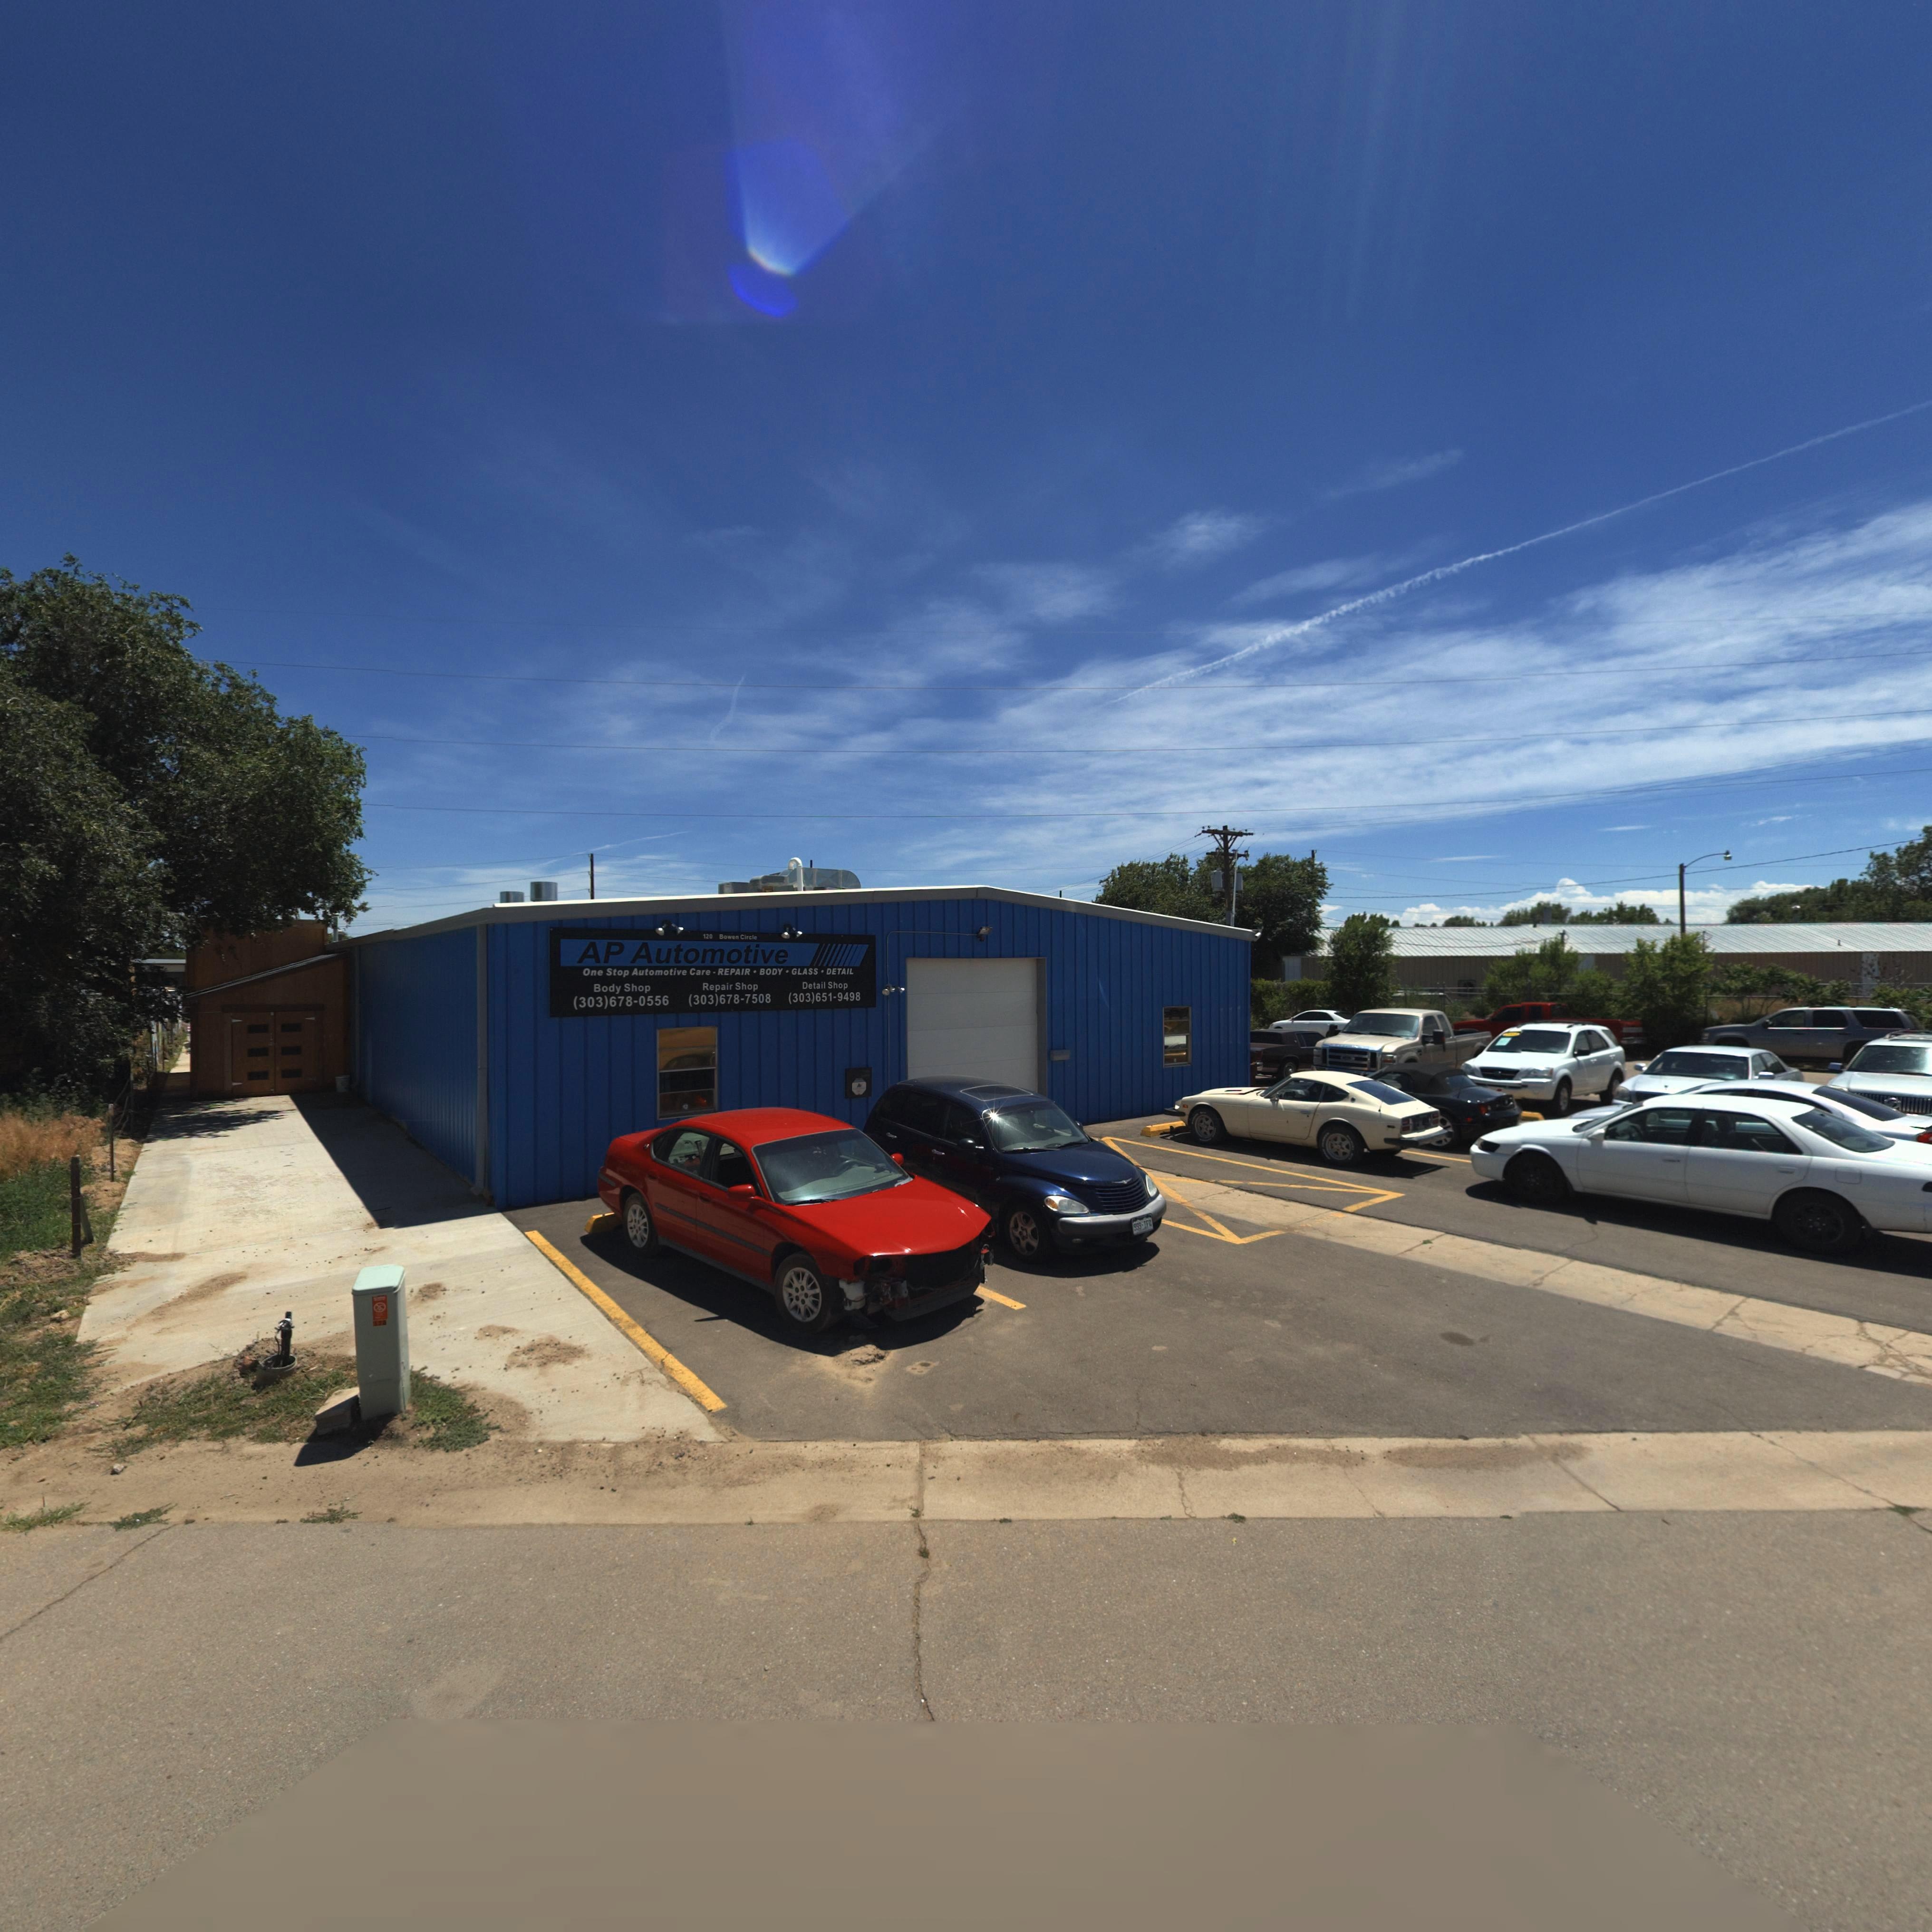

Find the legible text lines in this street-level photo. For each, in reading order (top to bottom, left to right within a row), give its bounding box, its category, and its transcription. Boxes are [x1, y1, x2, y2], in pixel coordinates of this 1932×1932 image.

[703, 933, 713, 939] StreetNumber: 120
[719, 933, 757, 940] StreetName: Bowen Circle
[574, 939, 789, 966] BusinessName: AP Automotive